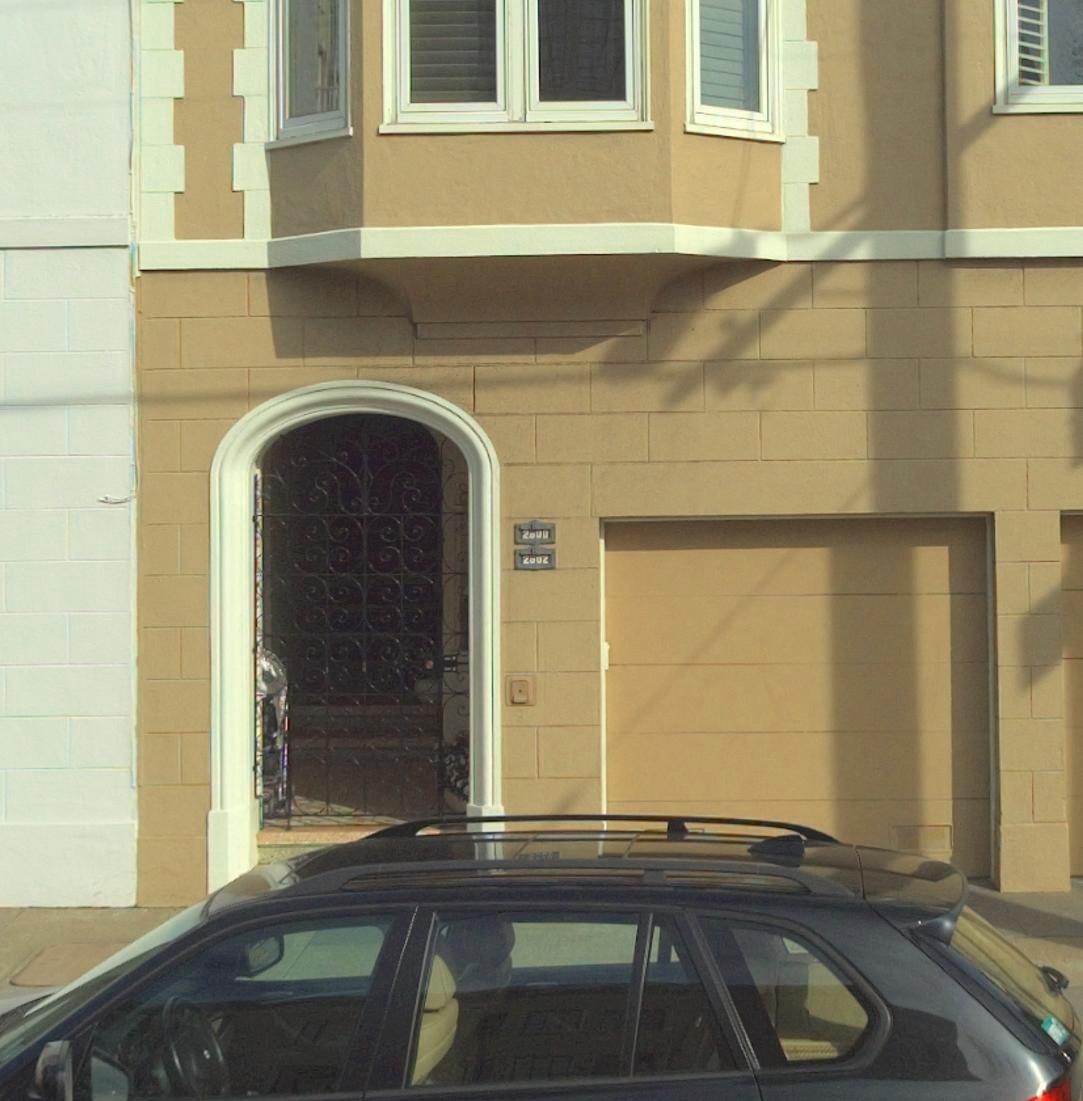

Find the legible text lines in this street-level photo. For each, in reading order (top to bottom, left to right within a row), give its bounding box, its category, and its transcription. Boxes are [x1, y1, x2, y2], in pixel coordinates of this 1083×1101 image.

[519, 527, 551, 541] StreetNumber: 2800
[520, 553, 552, 566] StreetNumber: 2802